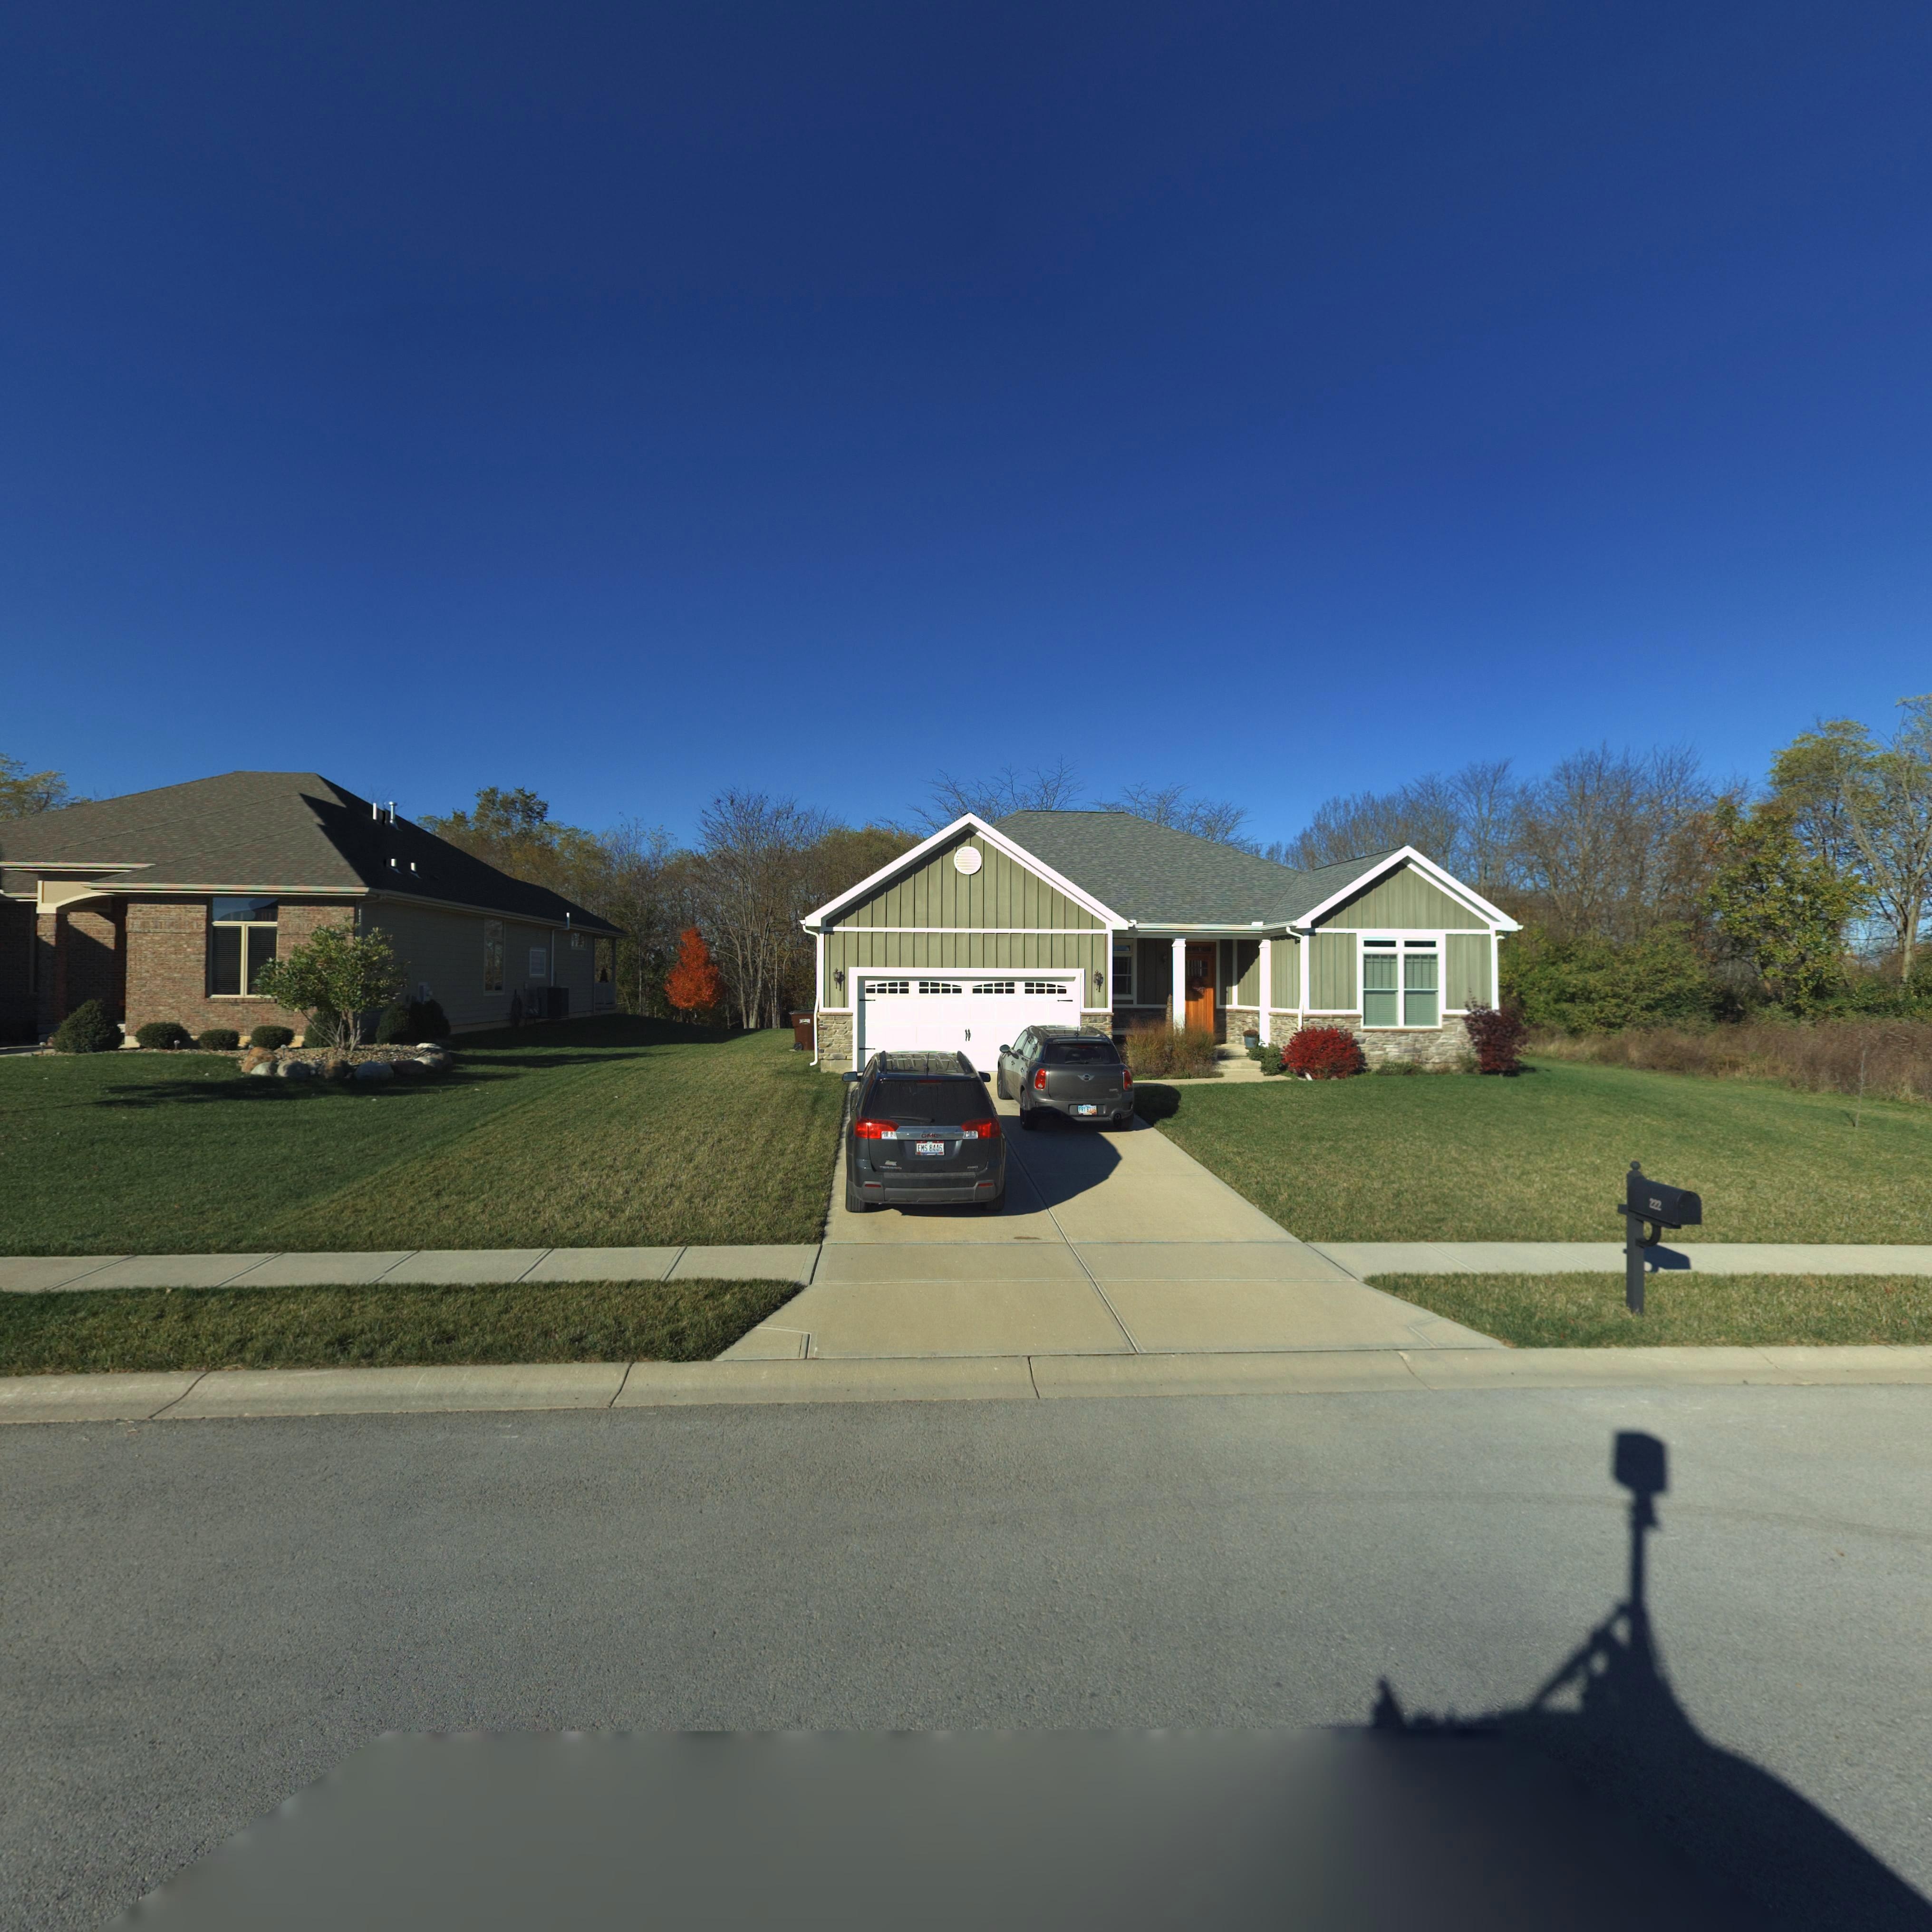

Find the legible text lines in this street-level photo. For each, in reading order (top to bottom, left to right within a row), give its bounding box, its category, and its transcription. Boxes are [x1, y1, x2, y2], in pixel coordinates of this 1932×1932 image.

[919, 1131, 942, 1139] None: GMC
[916, 1142, 943, 1153] None: EMS 8446
[1648, 1196, 1663, 1213] StreetNumber: 222